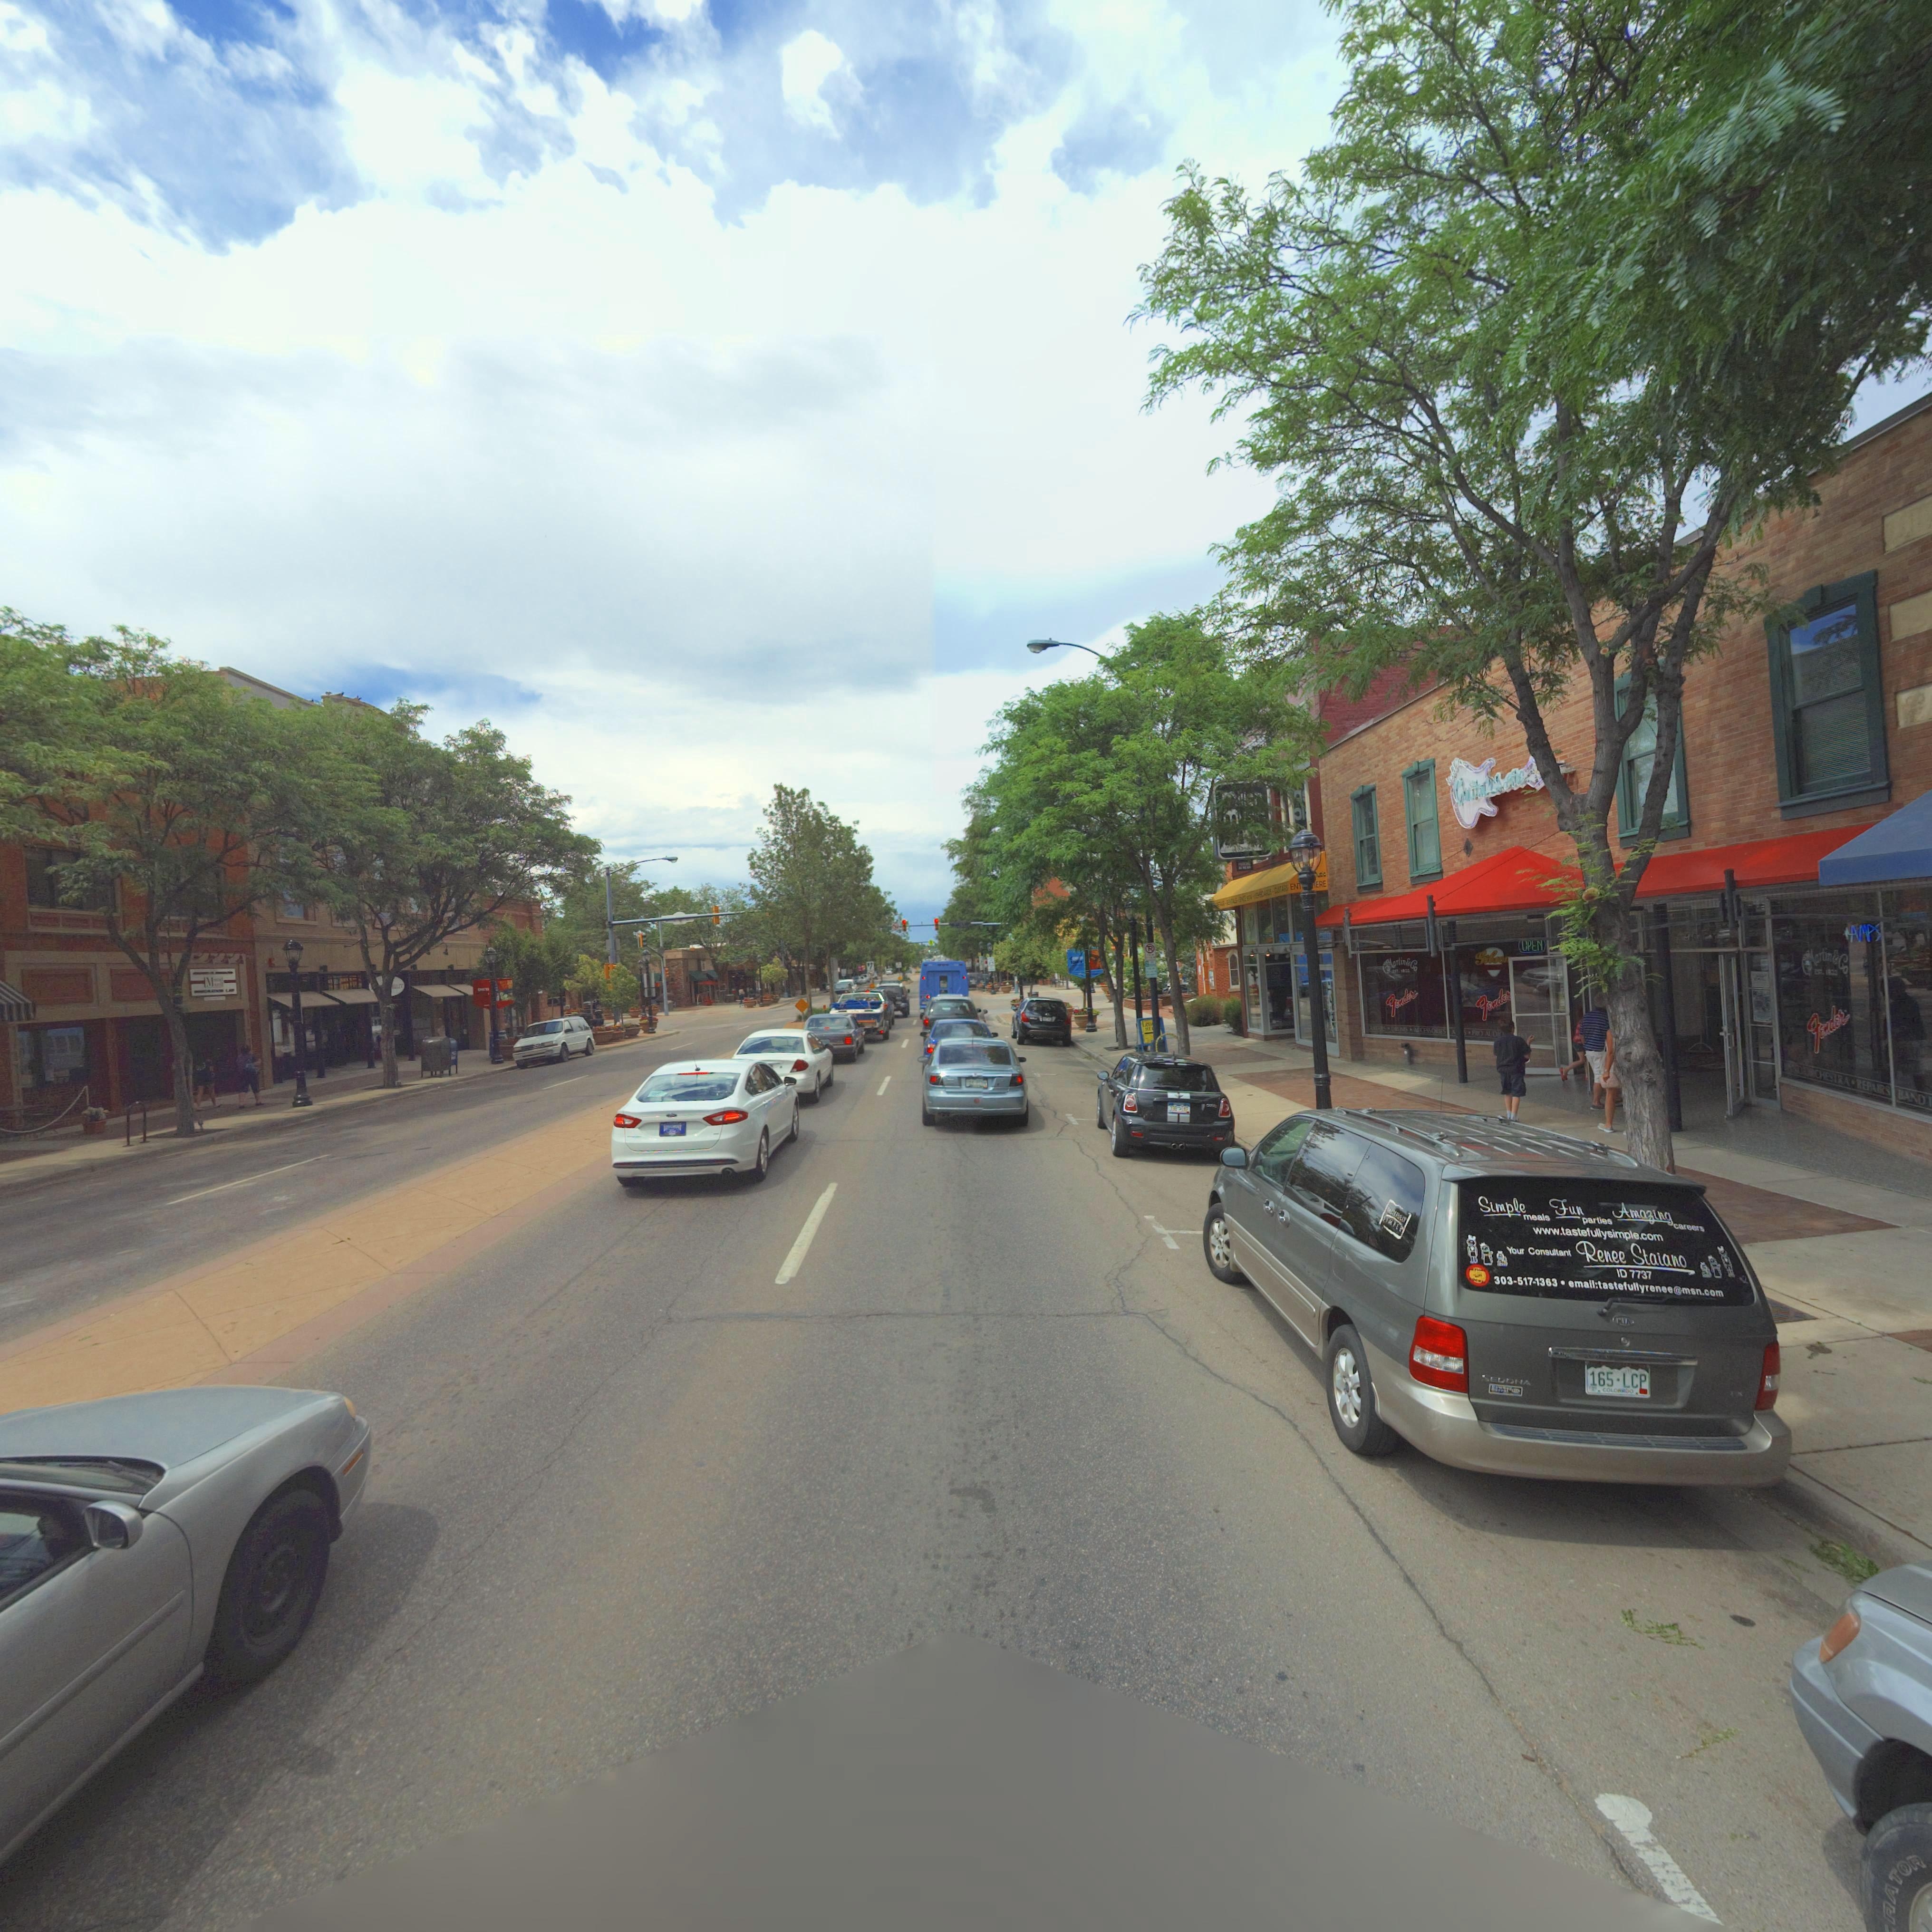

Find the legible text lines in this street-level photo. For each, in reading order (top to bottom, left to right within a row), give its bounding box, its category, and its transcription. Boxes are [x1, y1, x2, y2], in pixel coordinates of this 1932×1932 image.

[1453, 768, 1526, 807] BusinessName: Guit**s Etc
[1221, 790, 1263, 809] BusinessName: Miller
[1222, 808, 1266, 828] BusinessName: M****
[1314, 870, 1326, 878] BusinessName: ***** *usic
[1684, 933, 1697, 942] StreetNumber: *60
[390, 984, 404, 988] BusinessName: **LLEY